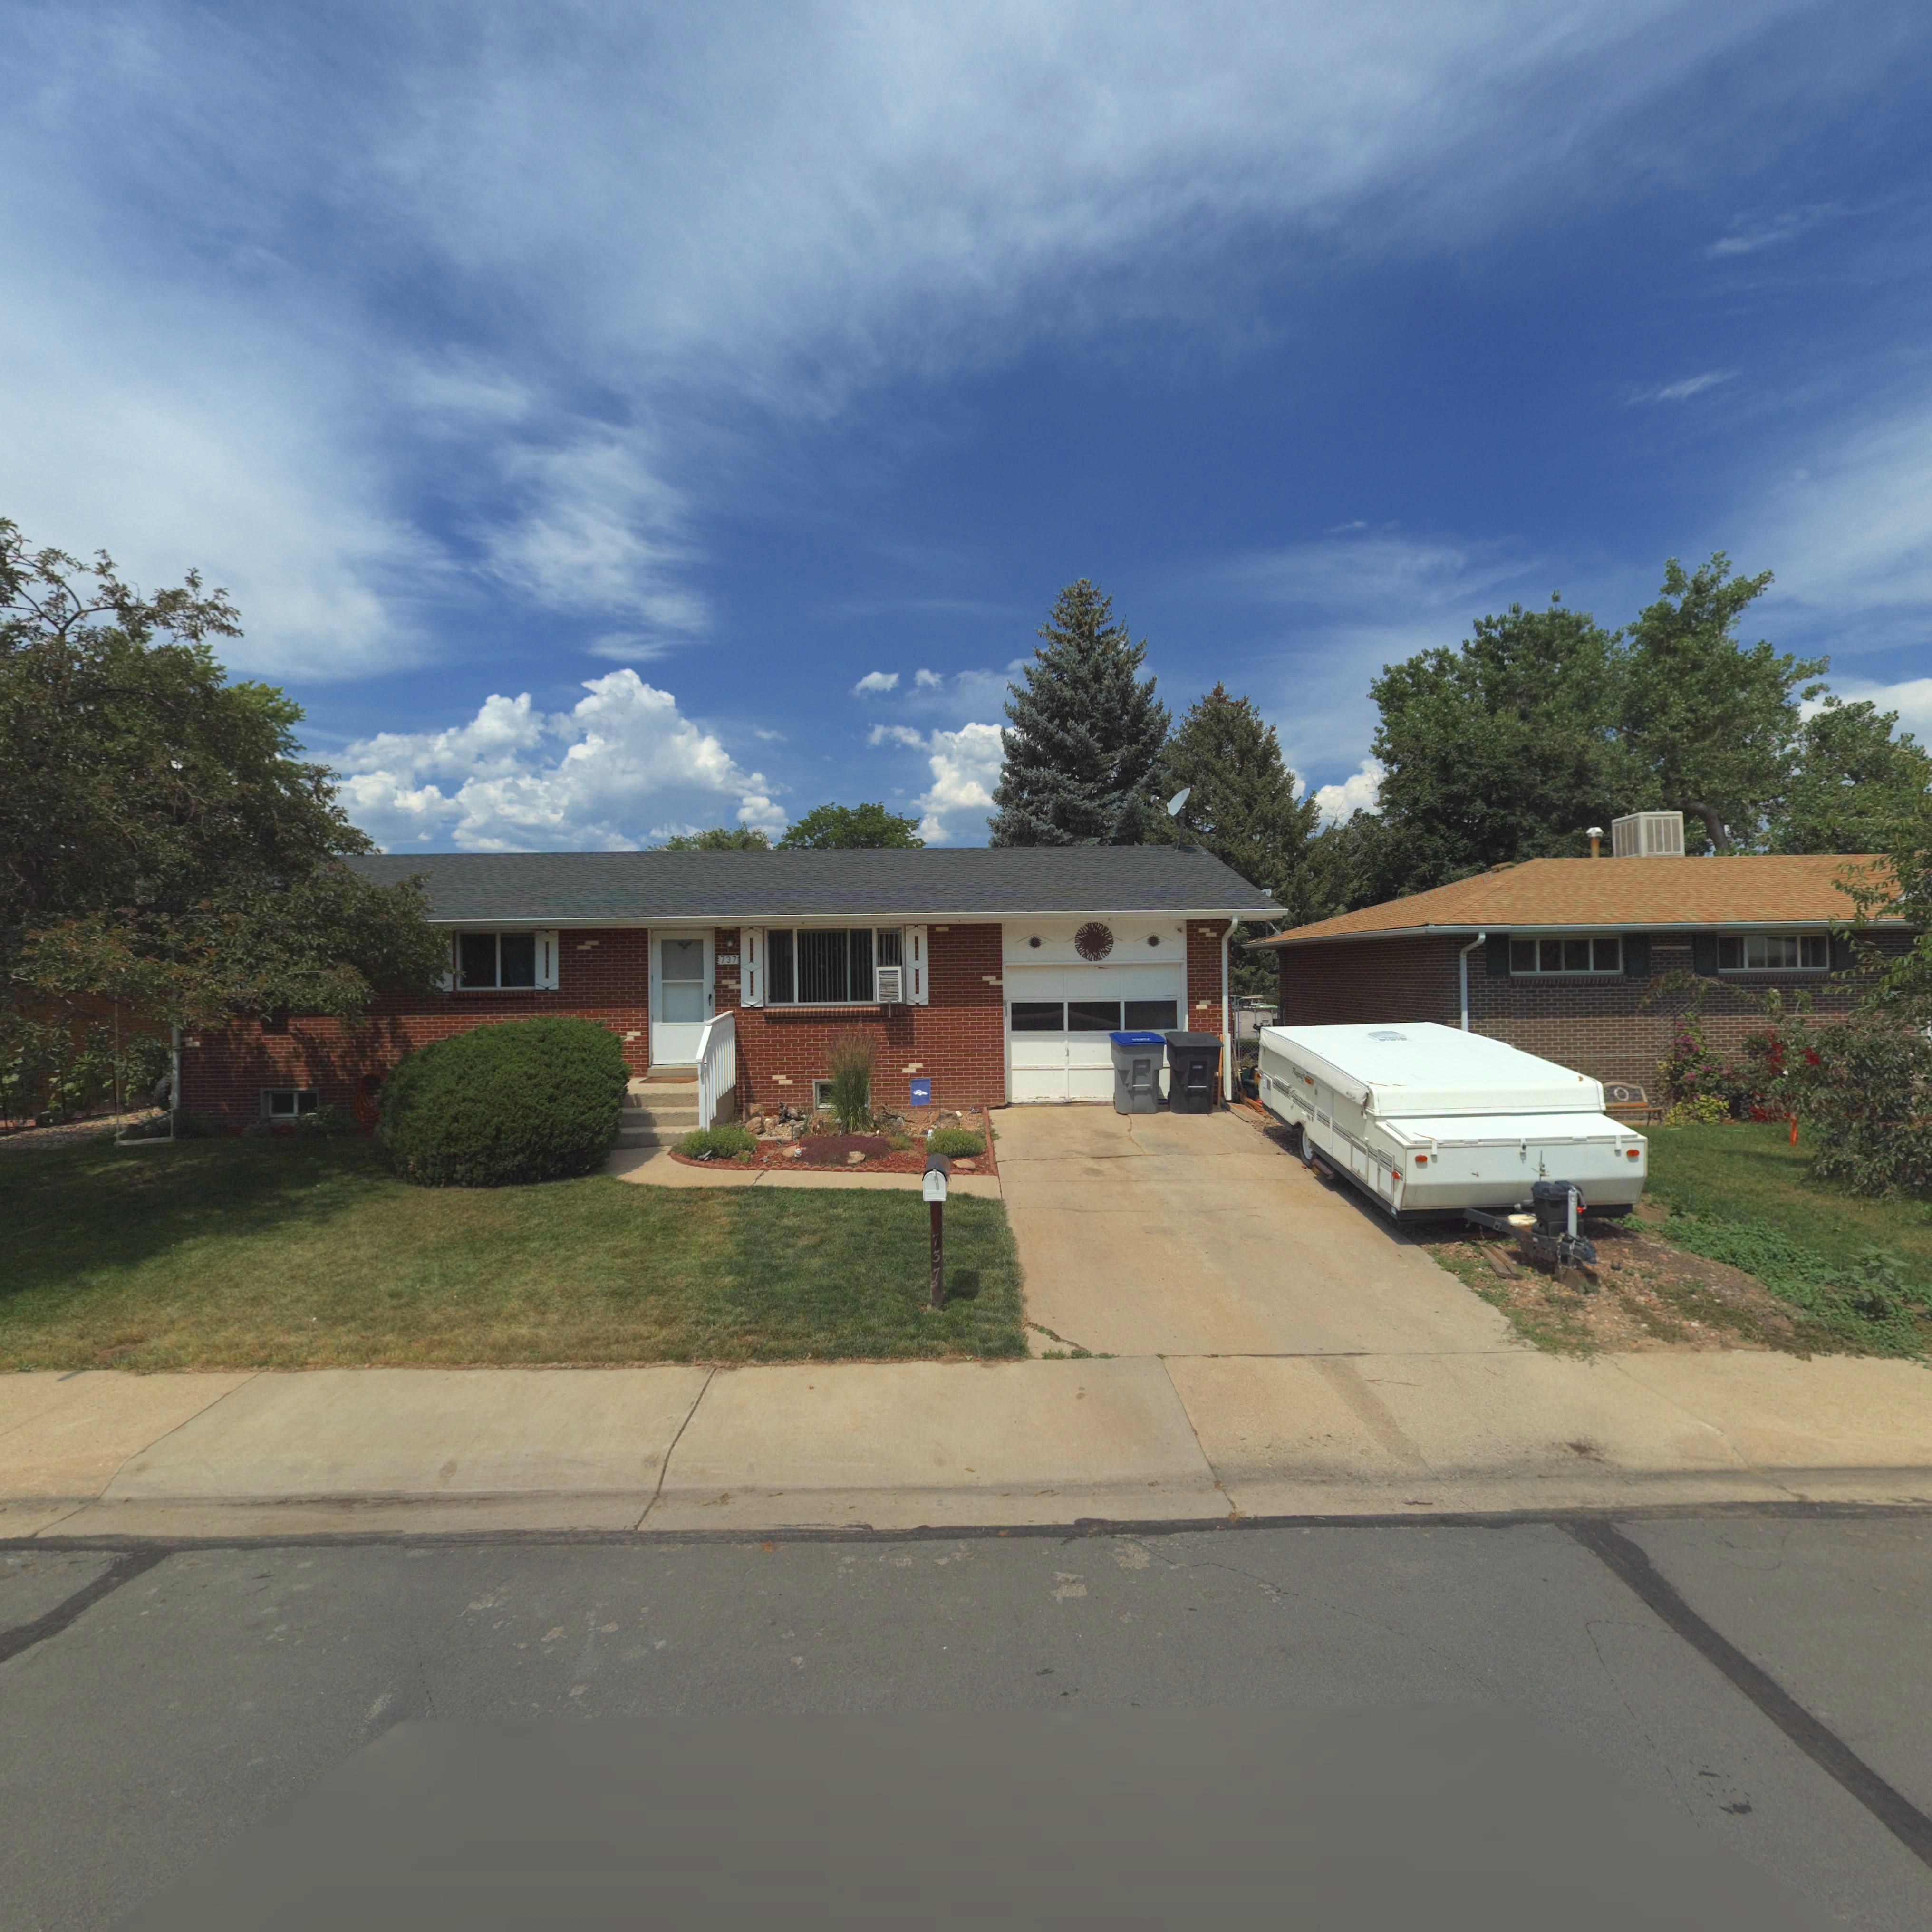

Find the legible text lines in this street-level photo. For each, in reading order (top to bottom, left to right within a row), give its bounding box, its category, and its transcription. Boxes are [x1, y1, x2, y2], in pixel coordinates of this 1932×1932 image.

[720, 956, 737, 964] StreetNumber: 737
[932, 1231, 941, 1283] StreetNumber: 737